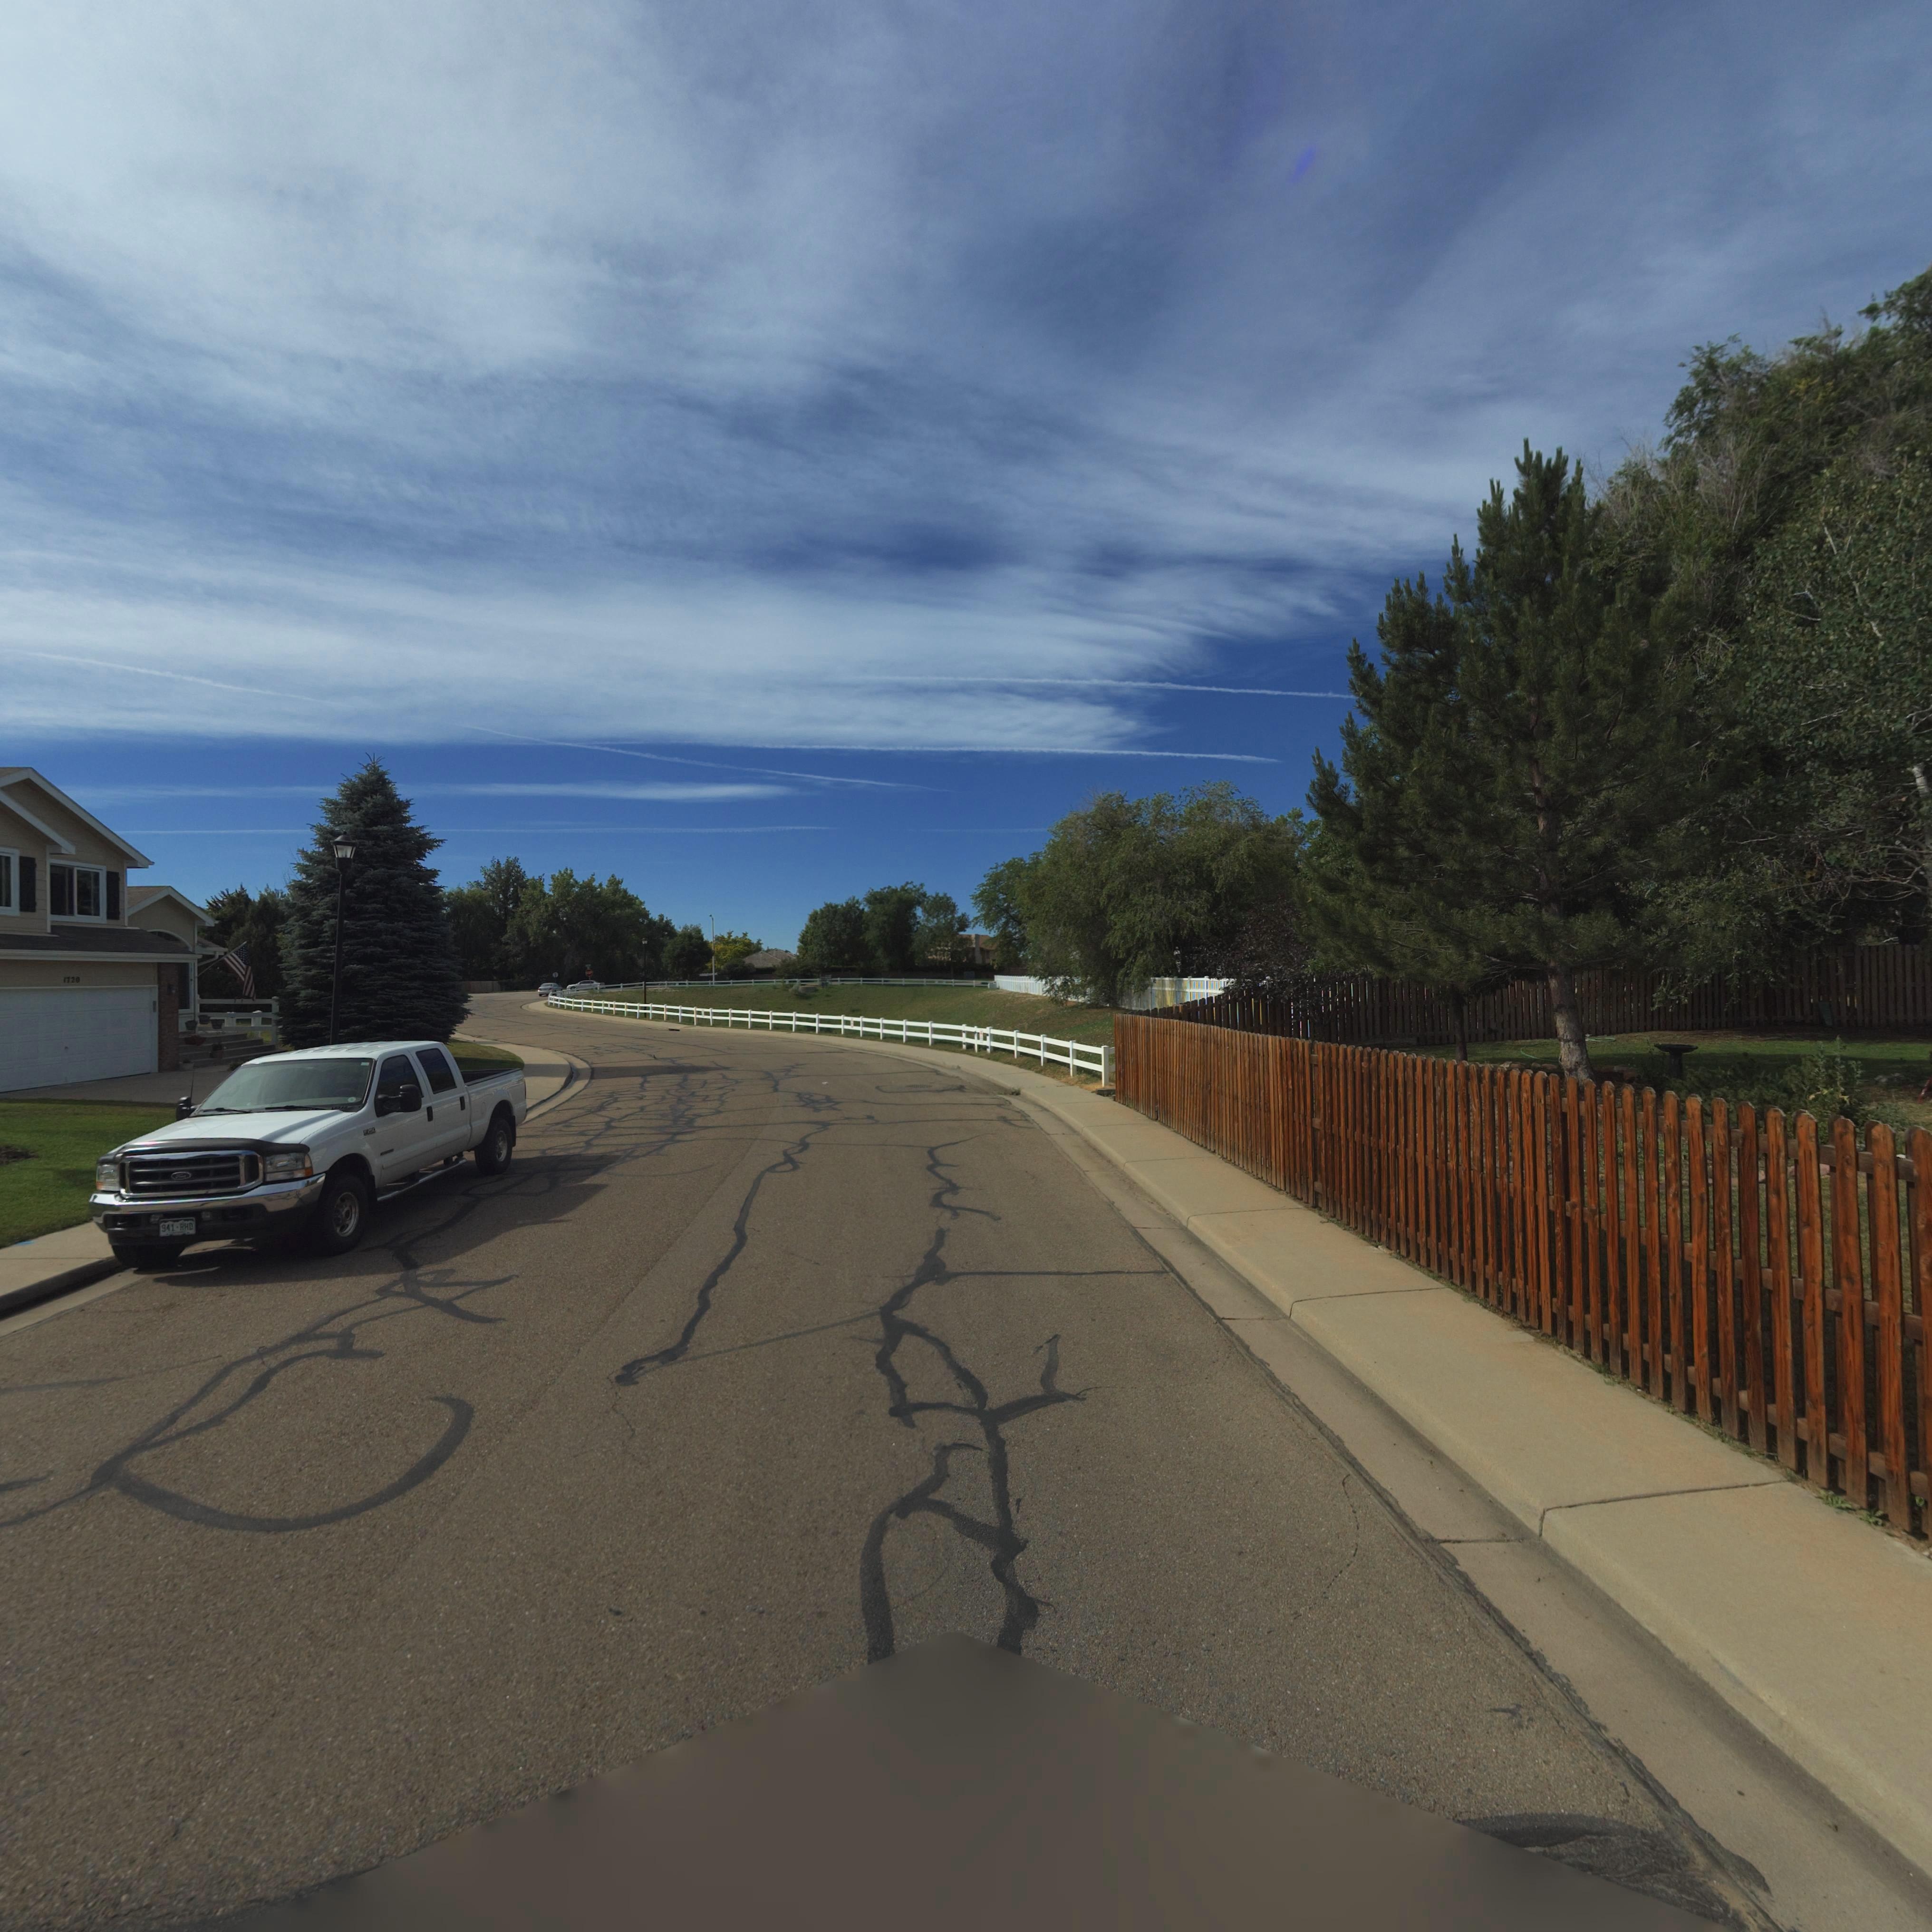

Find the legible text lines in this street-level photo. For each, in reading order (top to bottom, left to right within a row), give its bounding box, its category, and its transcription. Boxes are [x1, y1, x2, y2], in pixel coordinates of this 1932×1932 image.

[62, 976, 80, 983] StreetNumber: 1720